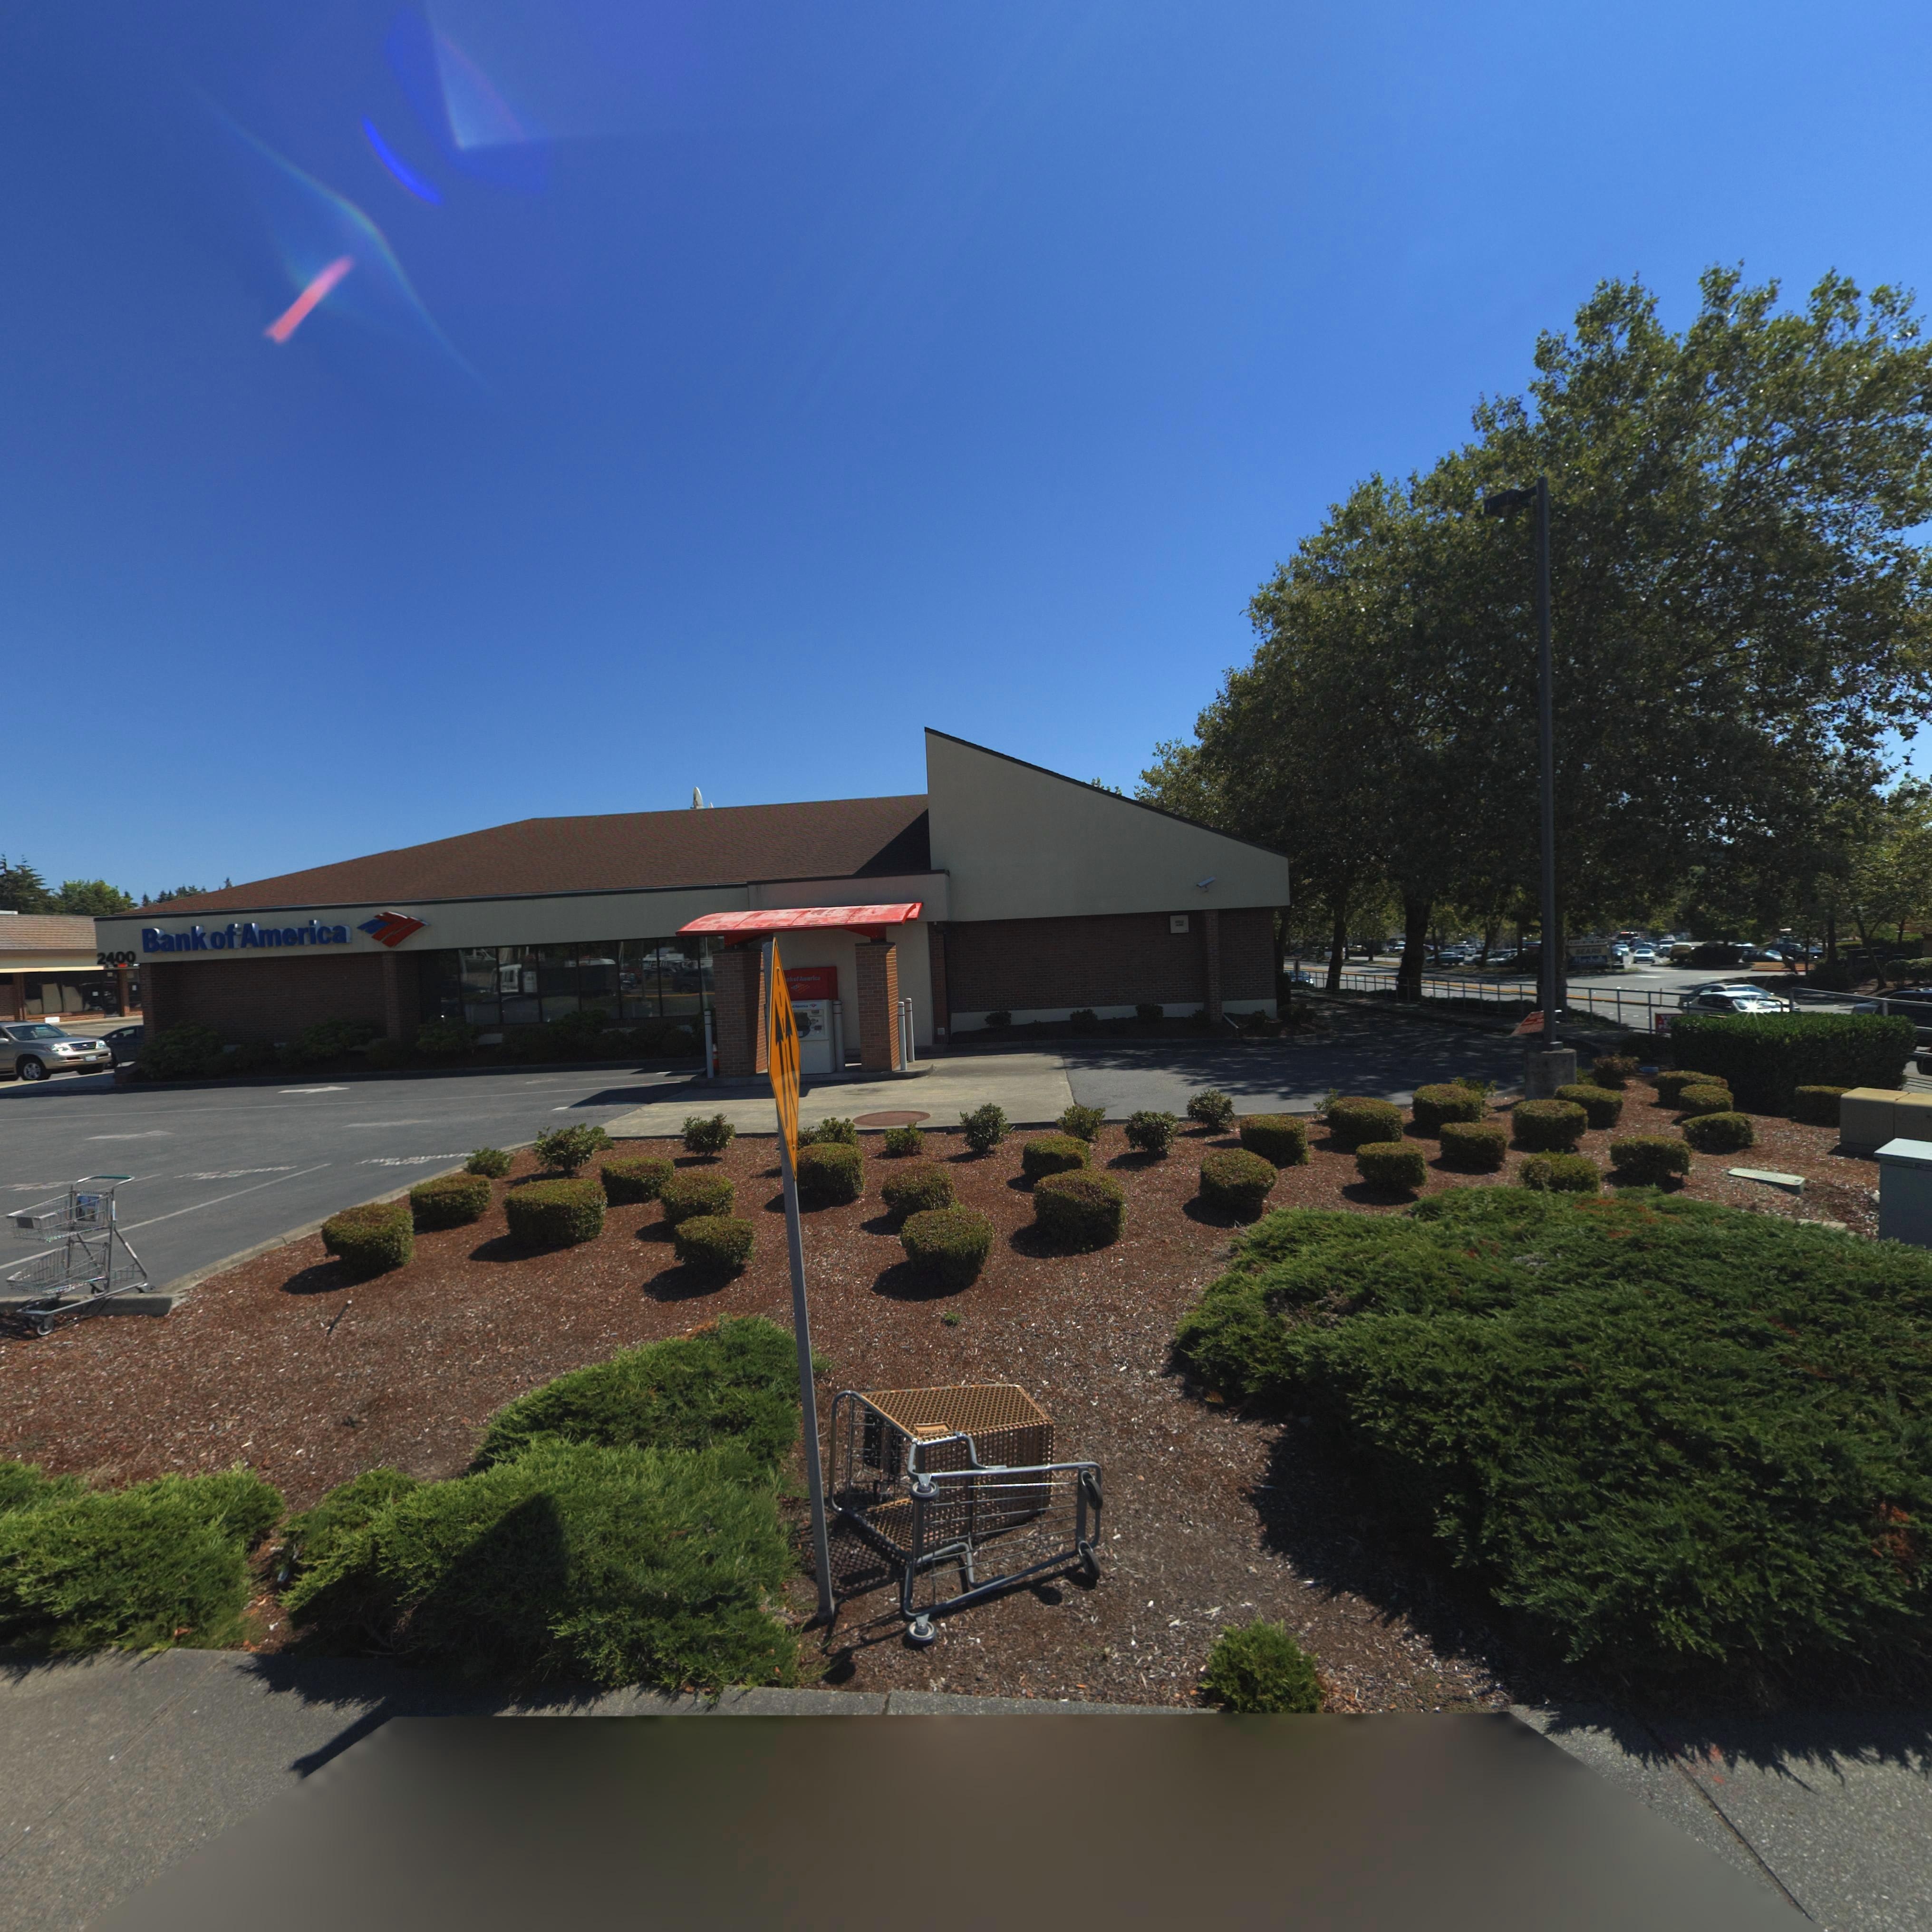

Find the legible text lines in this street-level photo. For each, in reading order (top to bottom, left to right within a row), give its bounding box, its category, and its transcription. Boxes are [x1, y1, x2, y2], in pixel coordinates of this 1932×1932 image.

[141, 919, 350, 952] BusinessName: Bank of America
[96, 950, 136, 964] StreetNumber: 2400